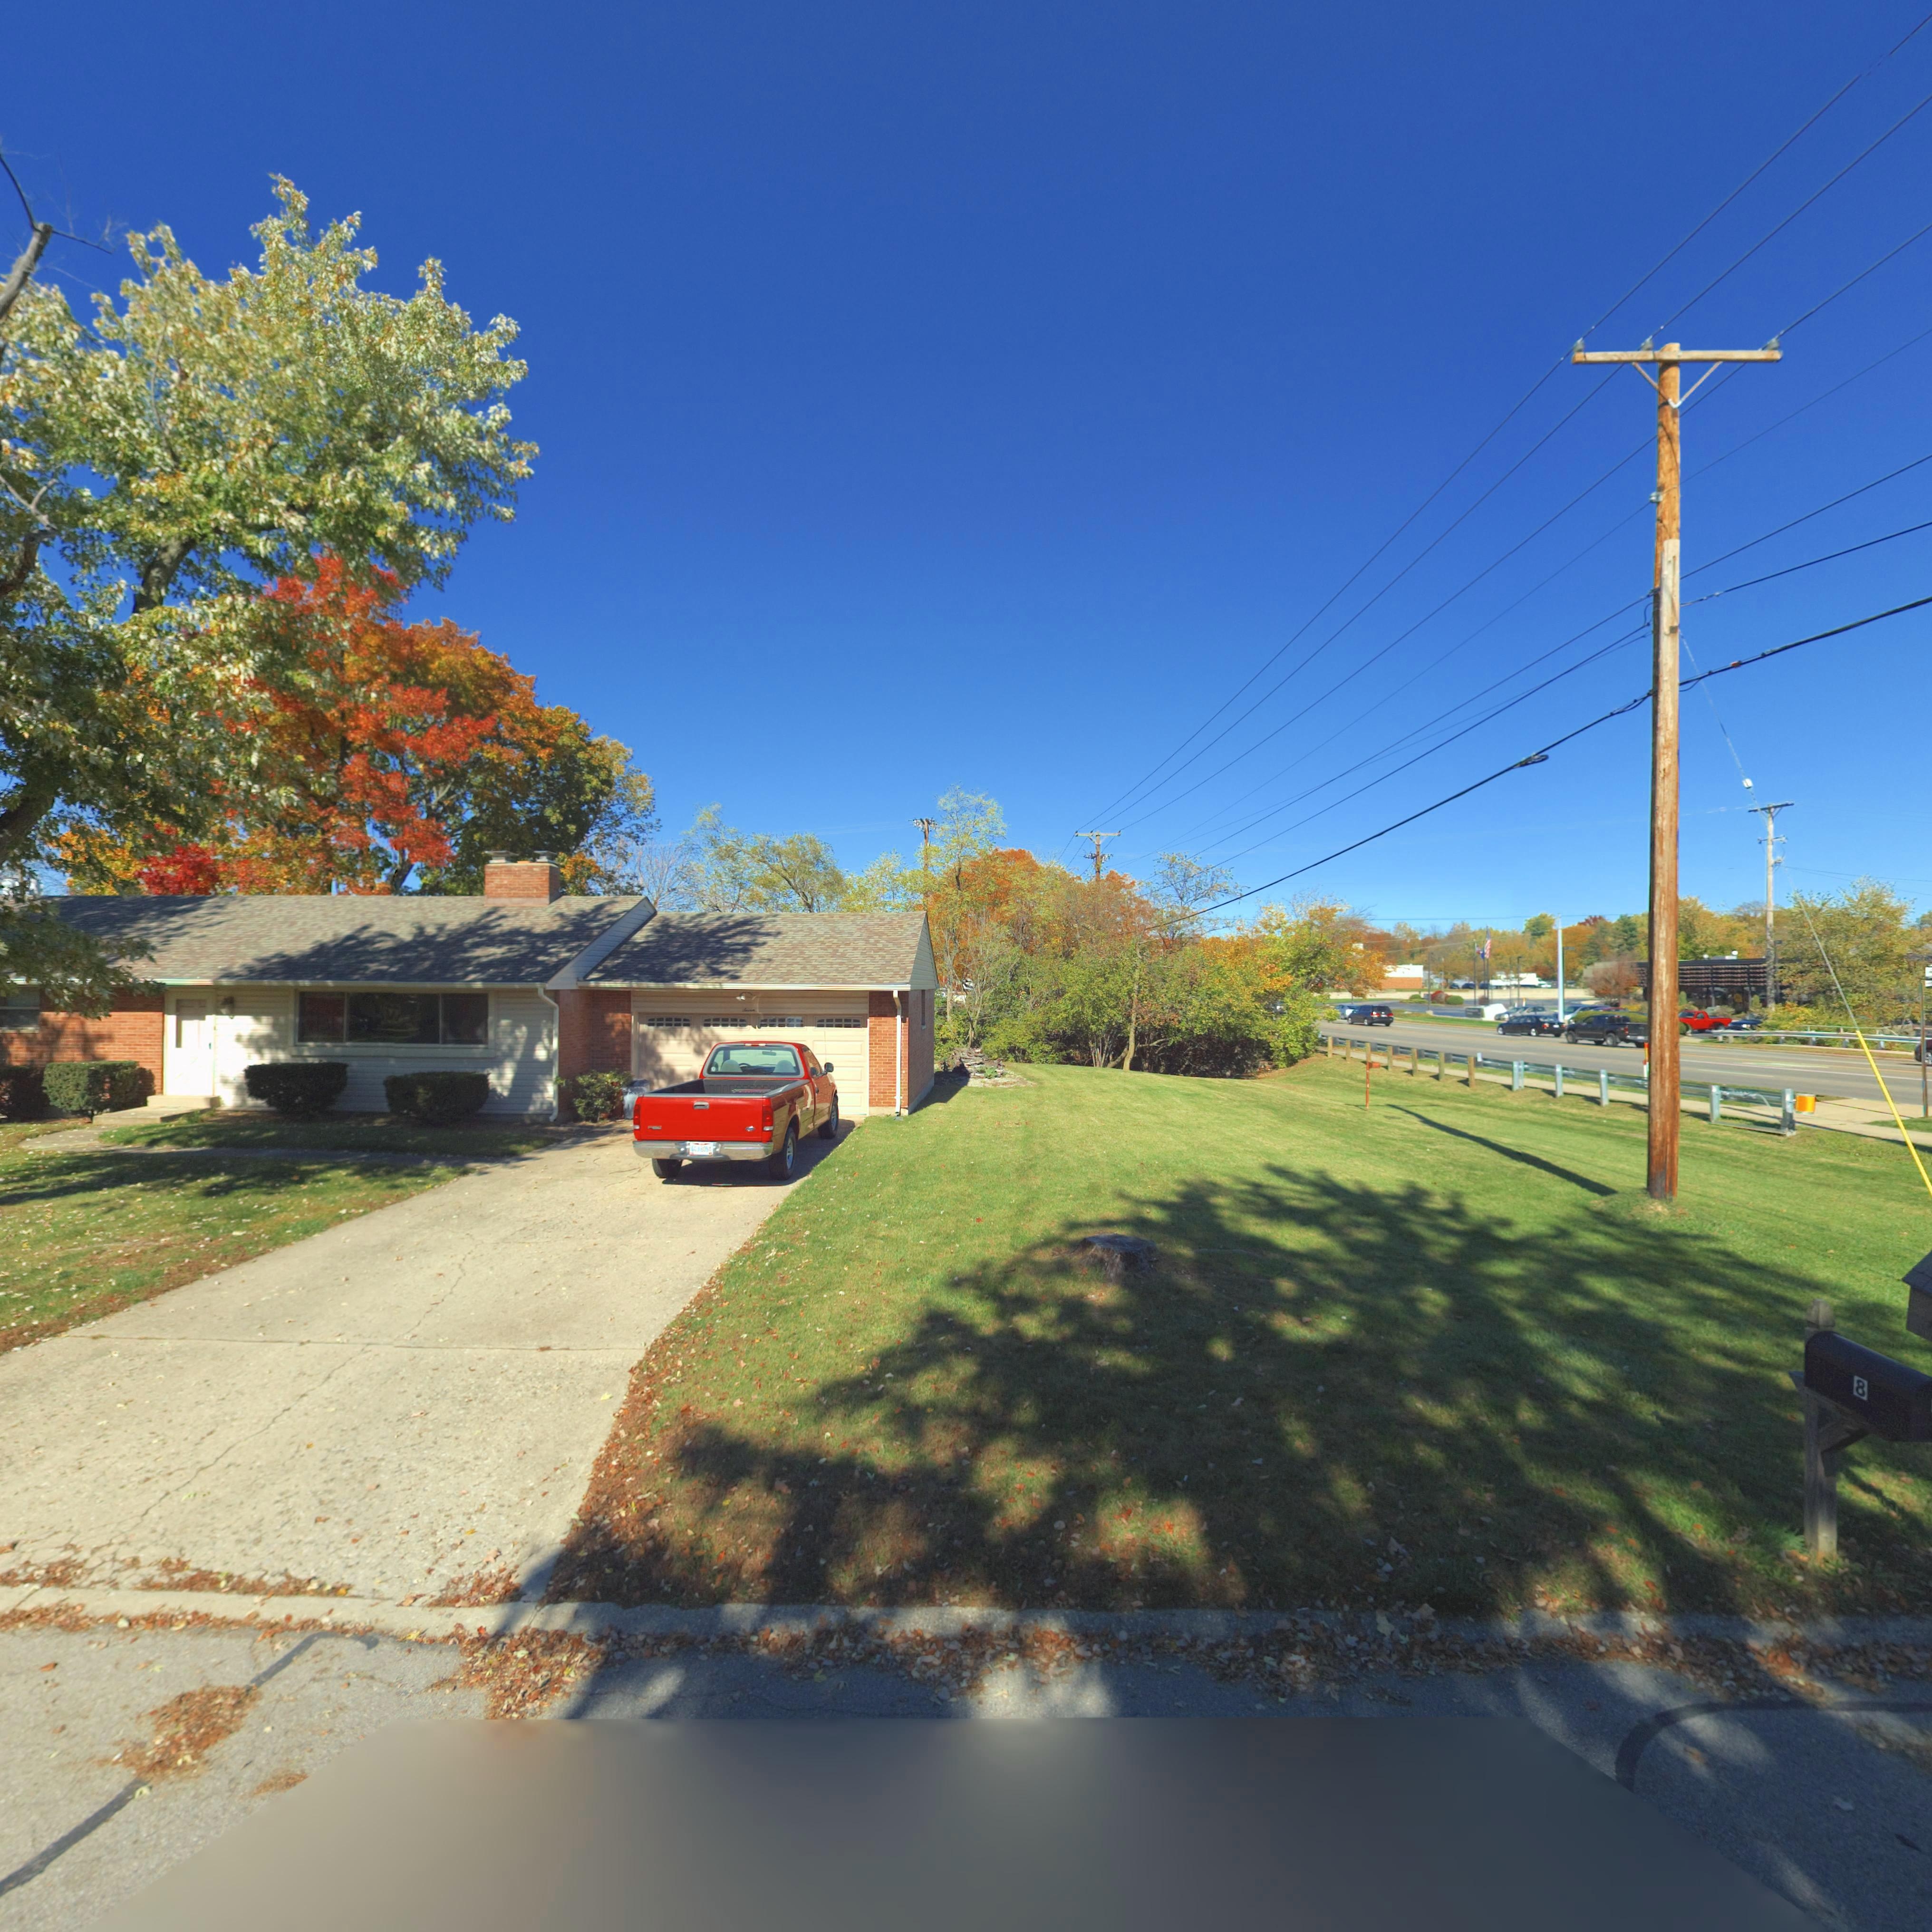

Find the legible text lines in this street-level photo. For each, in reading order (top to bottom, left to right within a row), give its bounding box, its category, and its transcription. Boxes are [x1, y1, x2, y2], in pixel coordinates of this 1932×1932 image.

[1855, 1377, 1866, 1399] StreetNumber: 8